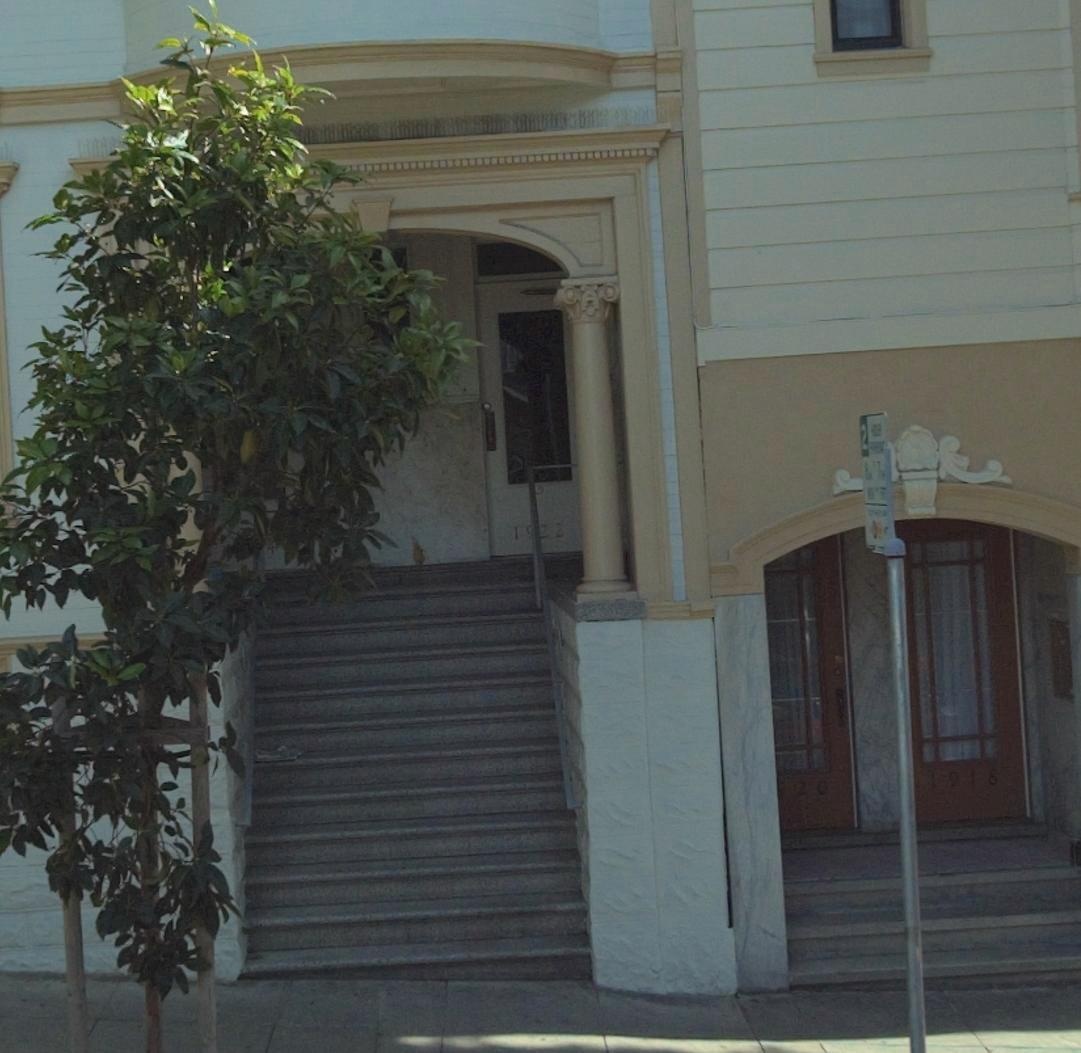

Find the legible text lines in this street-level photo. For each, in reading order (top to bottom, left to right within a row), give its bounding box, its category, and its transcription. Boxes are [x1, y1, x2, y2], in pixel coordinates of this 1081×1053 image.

[859, 422, 869, 452] None: 2
[513, 521, 566, 542] StreetNumber: 1*22